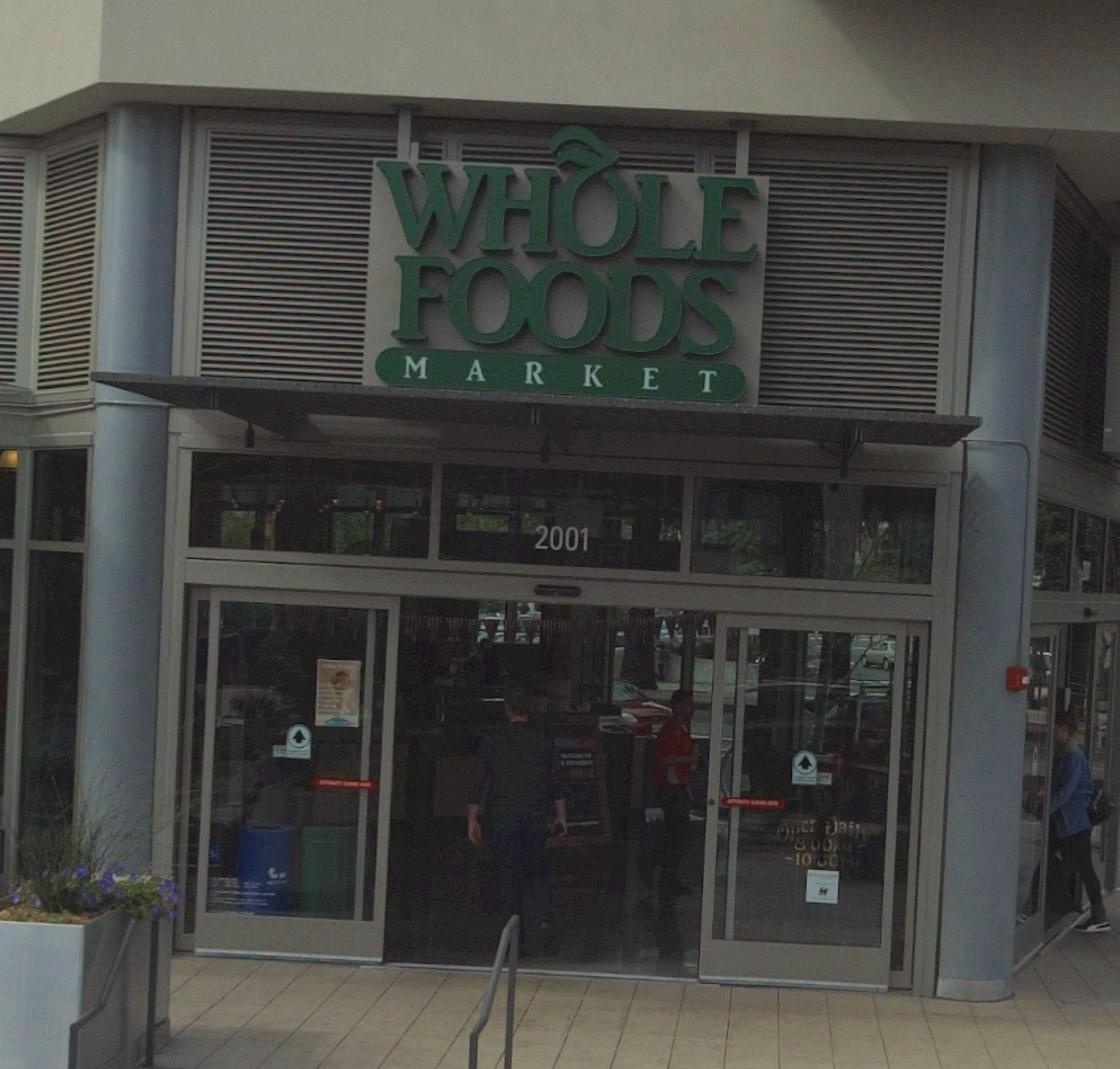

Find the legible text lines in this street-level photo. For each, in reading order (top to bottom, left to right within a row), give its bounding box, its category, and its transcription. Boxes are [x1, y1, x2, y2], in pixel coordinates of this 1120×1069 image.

[370, 162, 765, 269] BusinessName: WHOLE
[388, 252, 739, 362] BusinessName: FOODS
[399, 351, 721, 397] None: MARKET
[531, 522, 591, 554] StreetNumber: 2001
[791, 835, 836, 854] None: 8:00
[793, 851, 842, 870] None: 10***
[772, 814, 873, 851] None: Ope* Daily